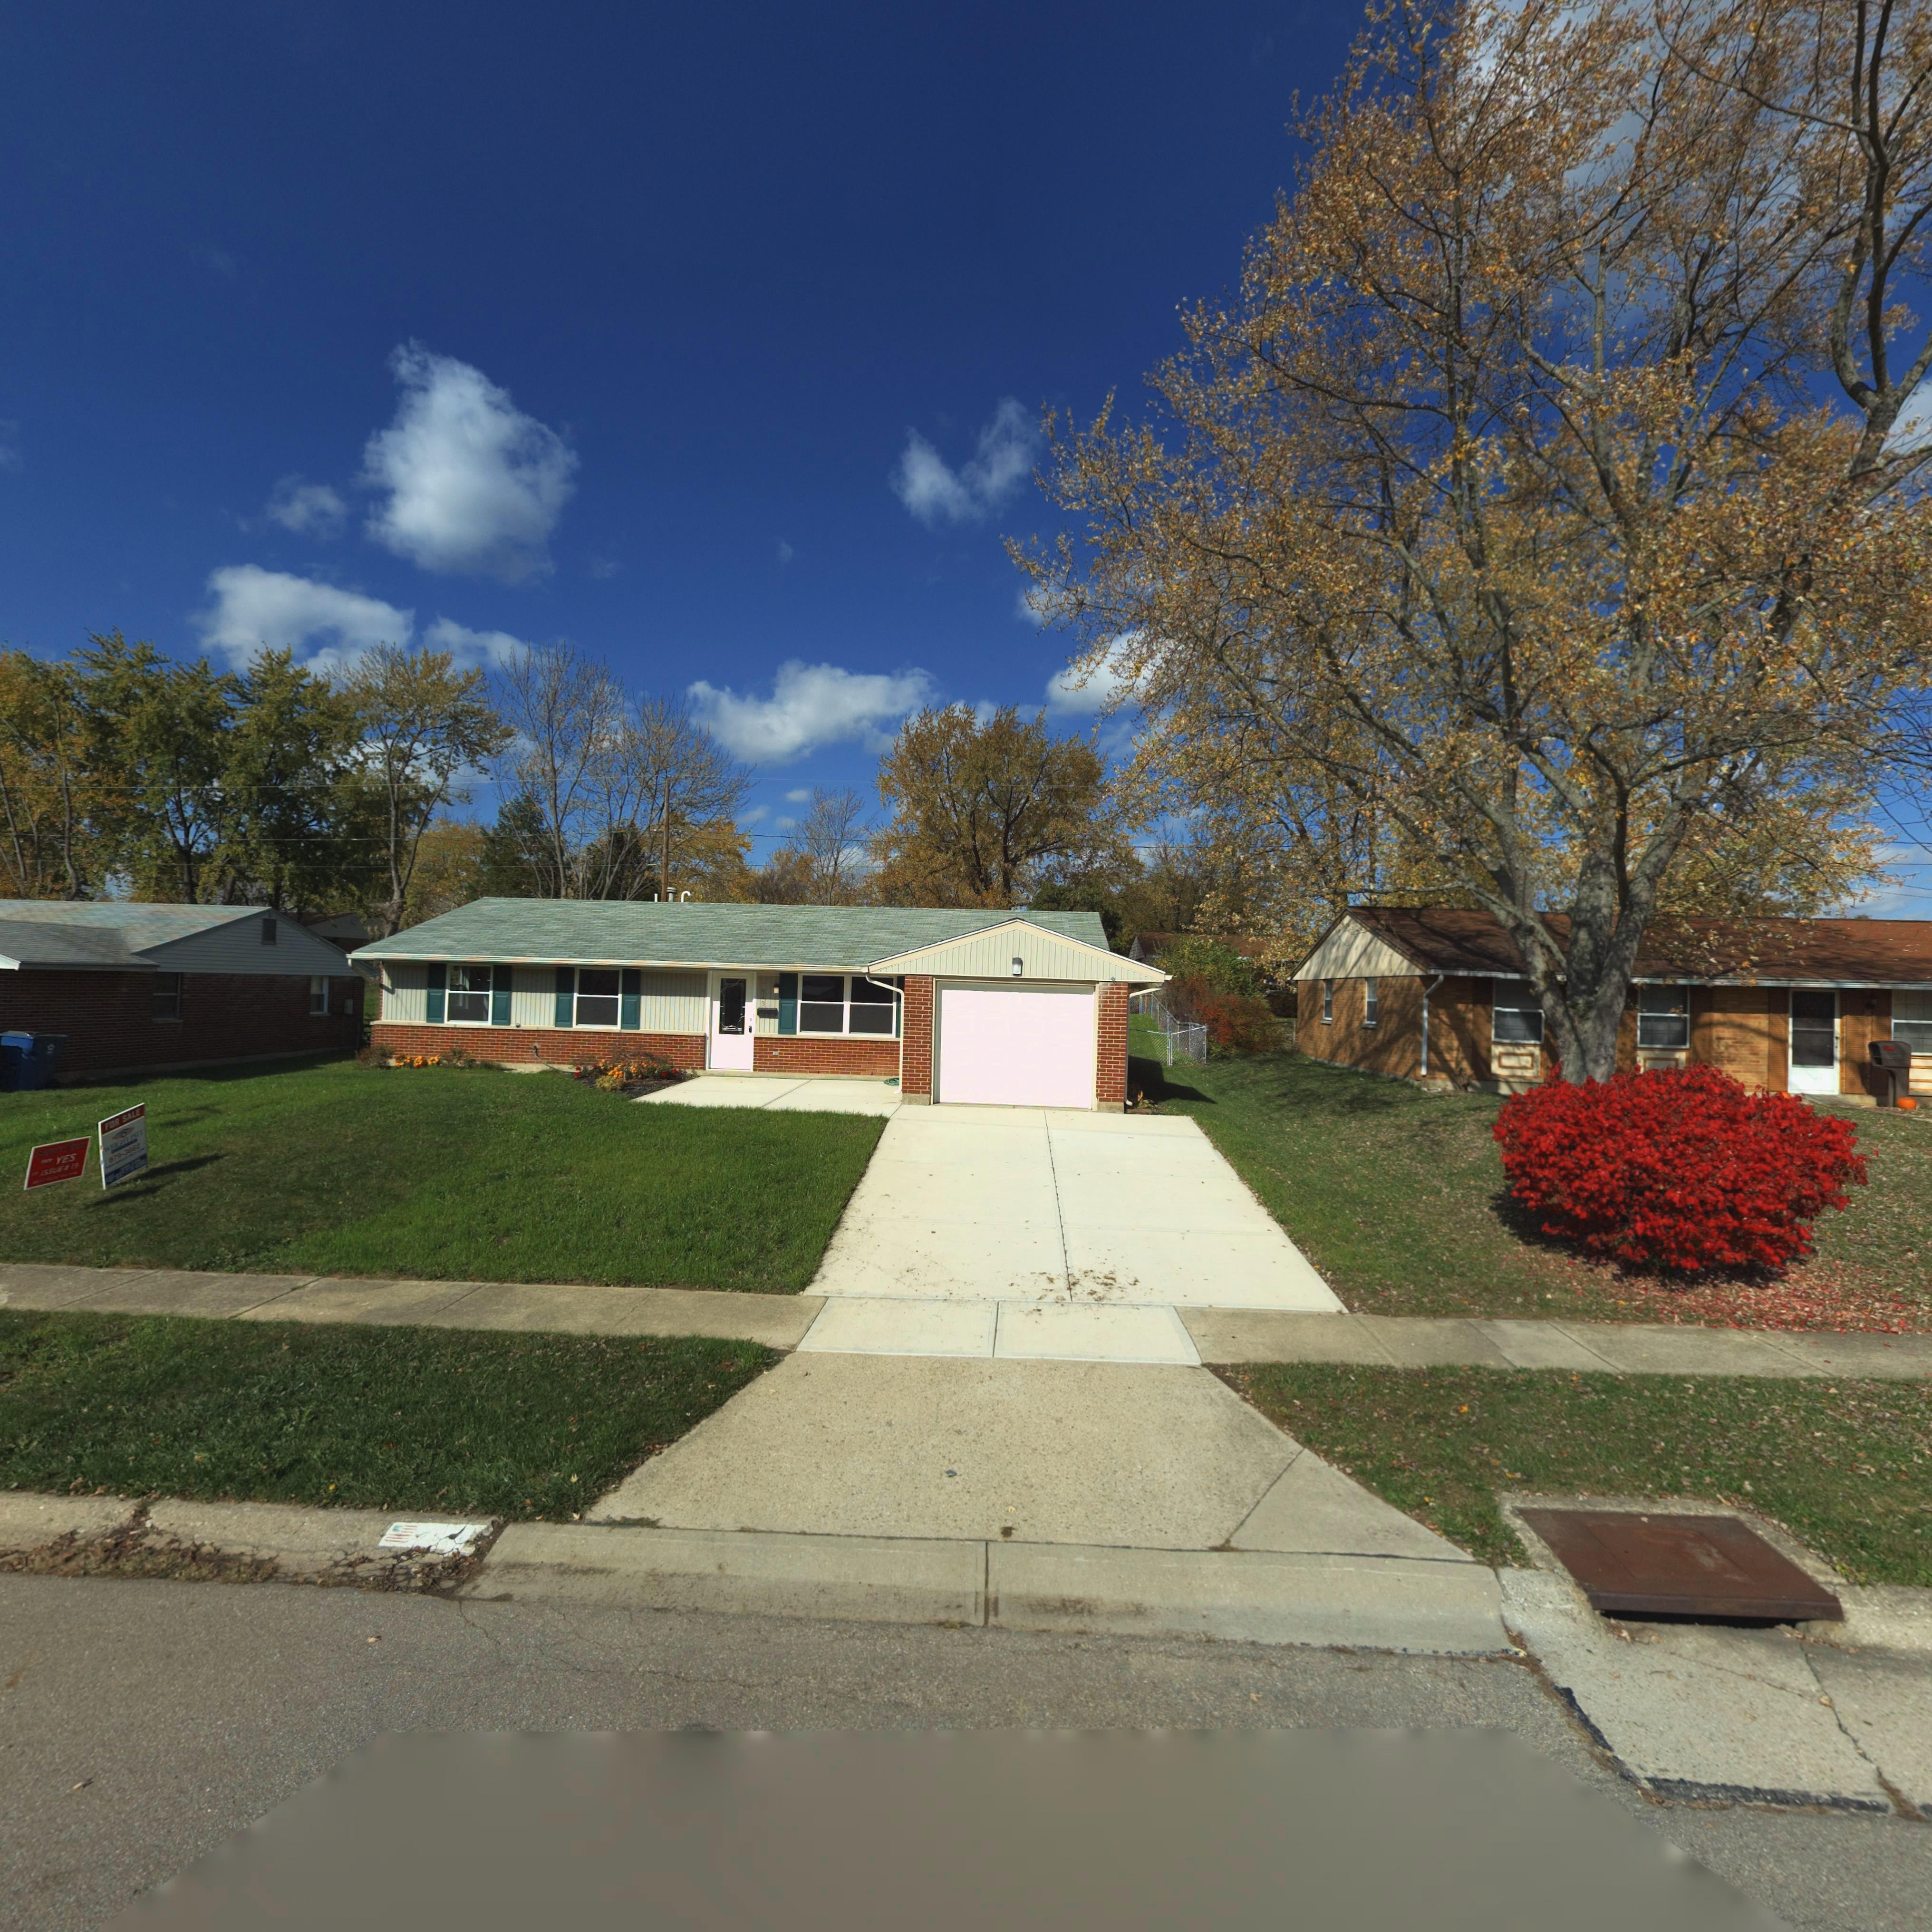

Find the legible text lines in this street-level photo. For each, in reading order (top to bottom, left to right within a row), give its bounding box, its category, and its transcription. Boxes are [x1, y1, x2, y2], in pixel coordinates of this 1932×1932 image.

[761, 982, 765, 1007] StreetNumber: 7543